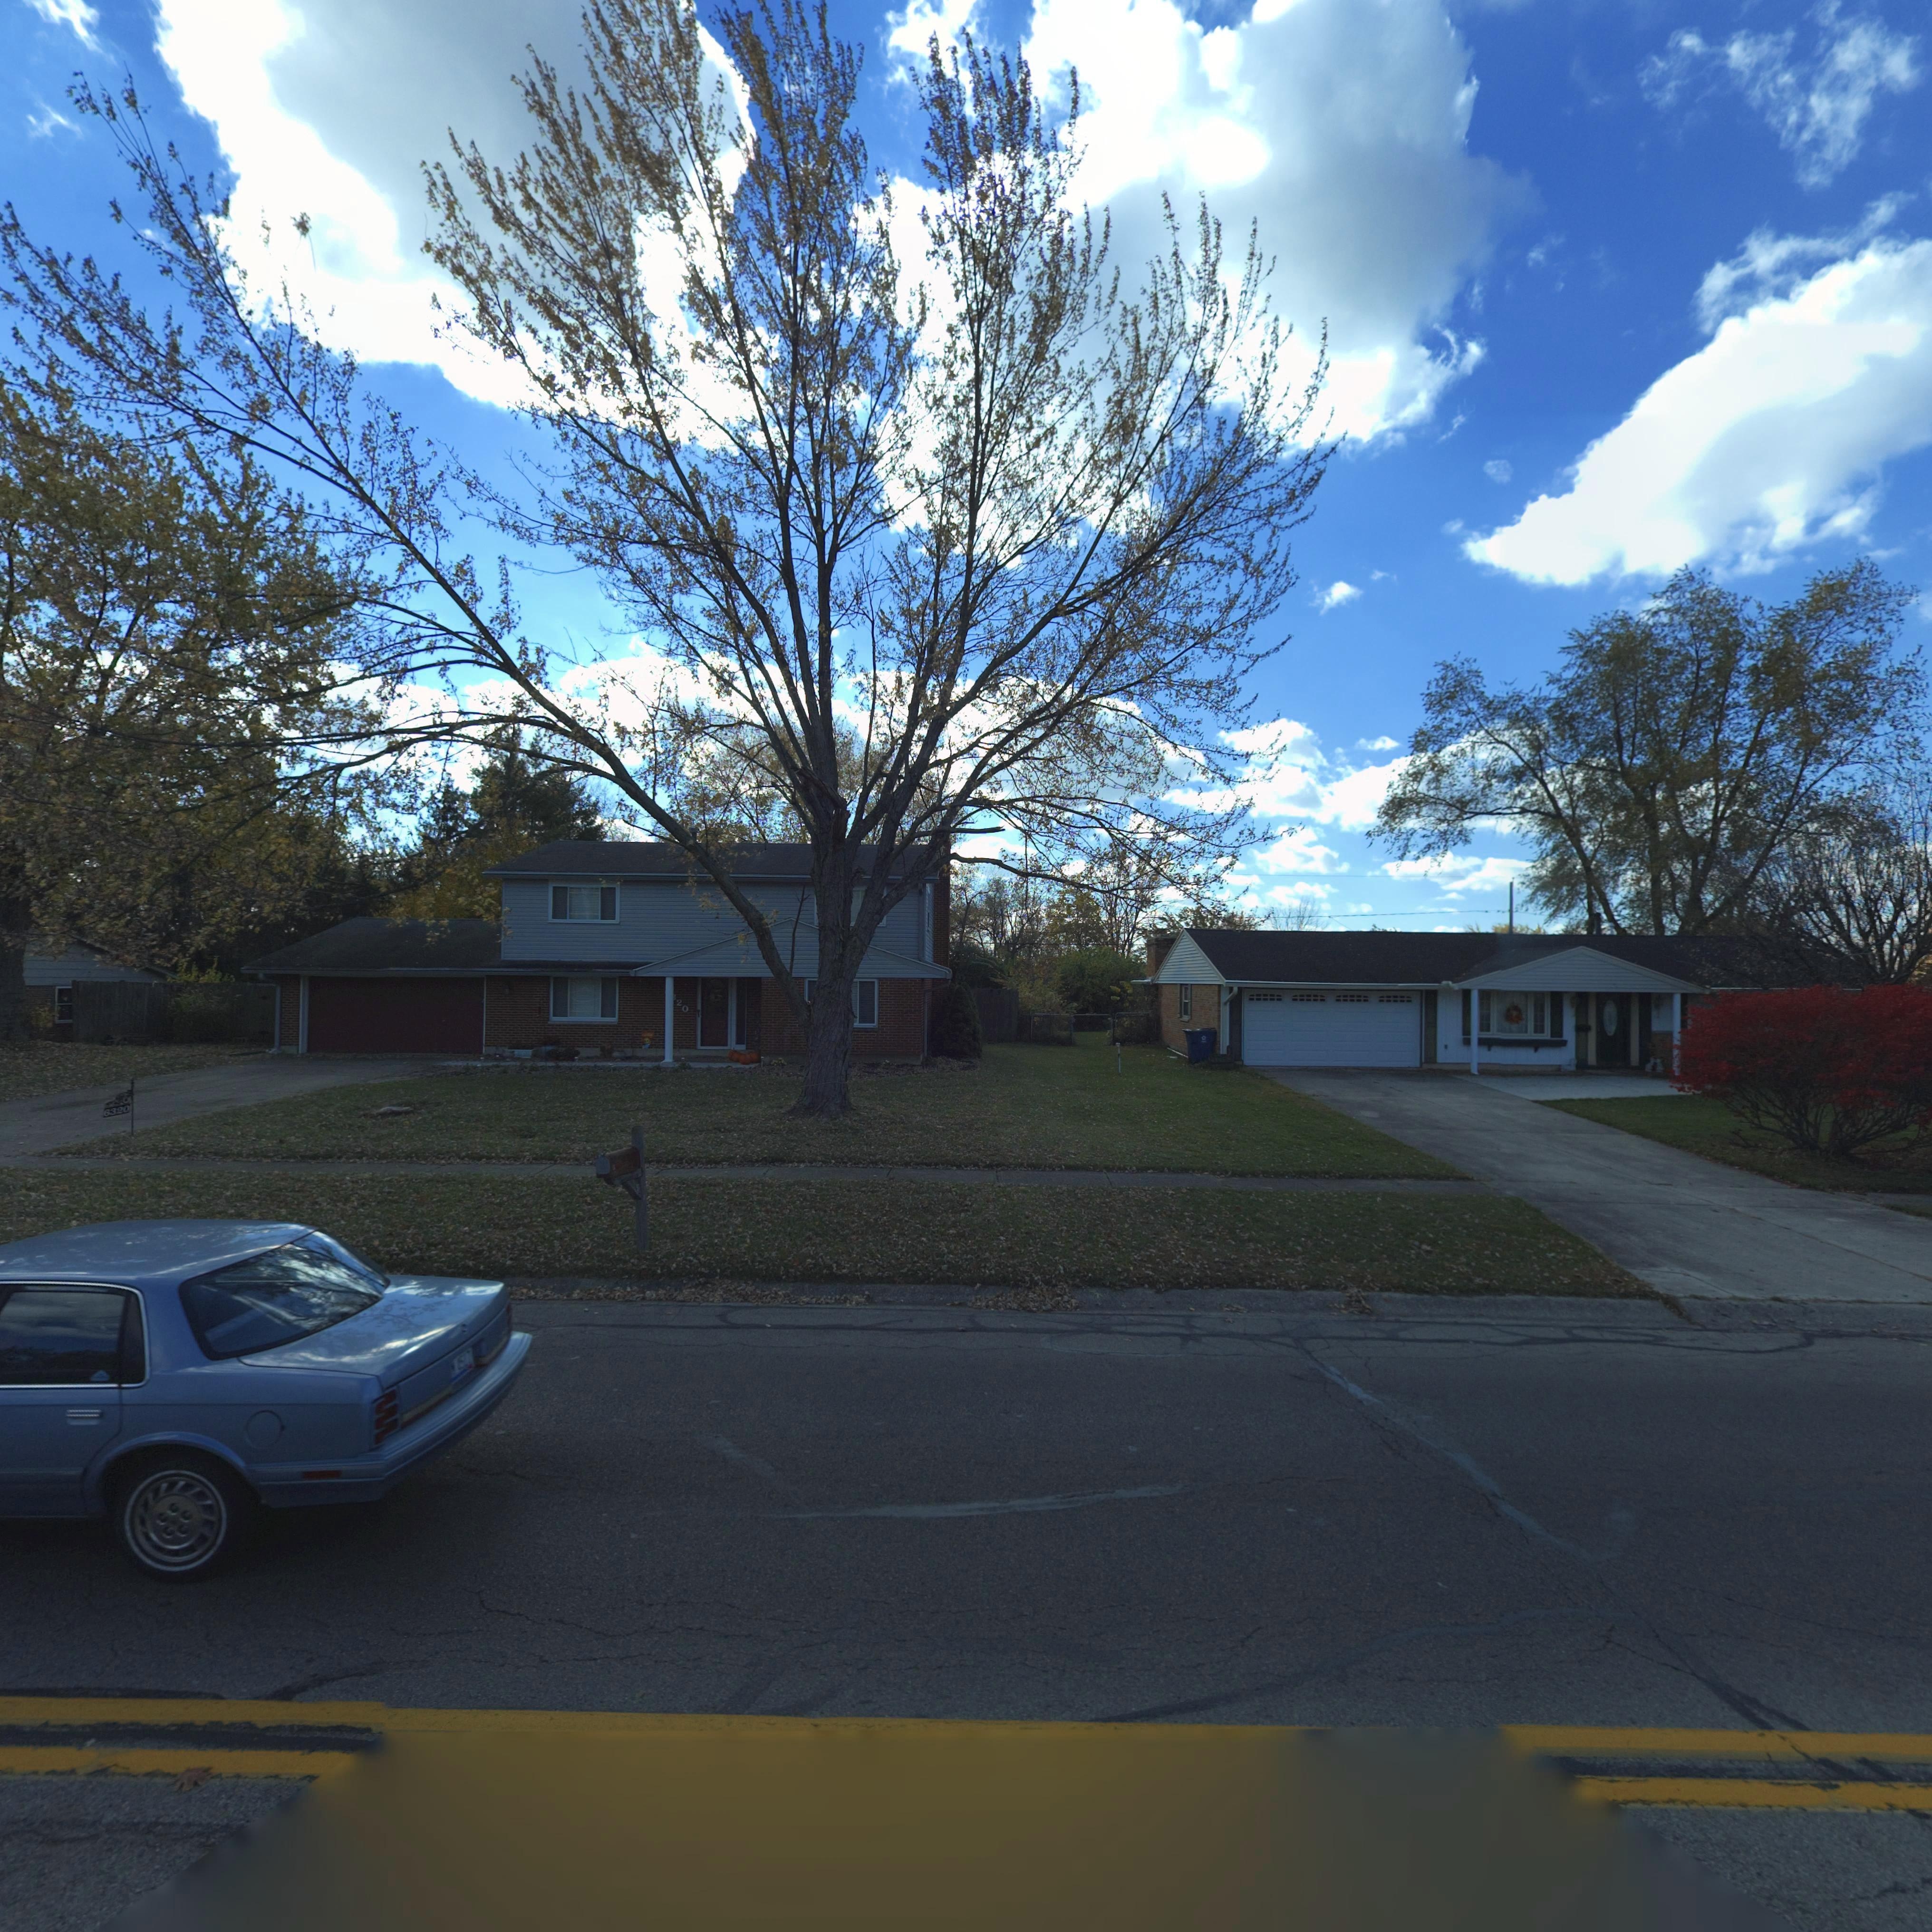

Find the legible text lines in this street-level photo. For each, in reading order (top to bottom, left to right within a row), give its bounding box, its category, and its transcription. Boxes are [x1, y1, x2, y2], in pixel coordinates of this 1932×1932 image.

[676, 999, 689, 1013] StreetNumber: 20
[103, 1105, 131, 1117] StreetNumber: 6320